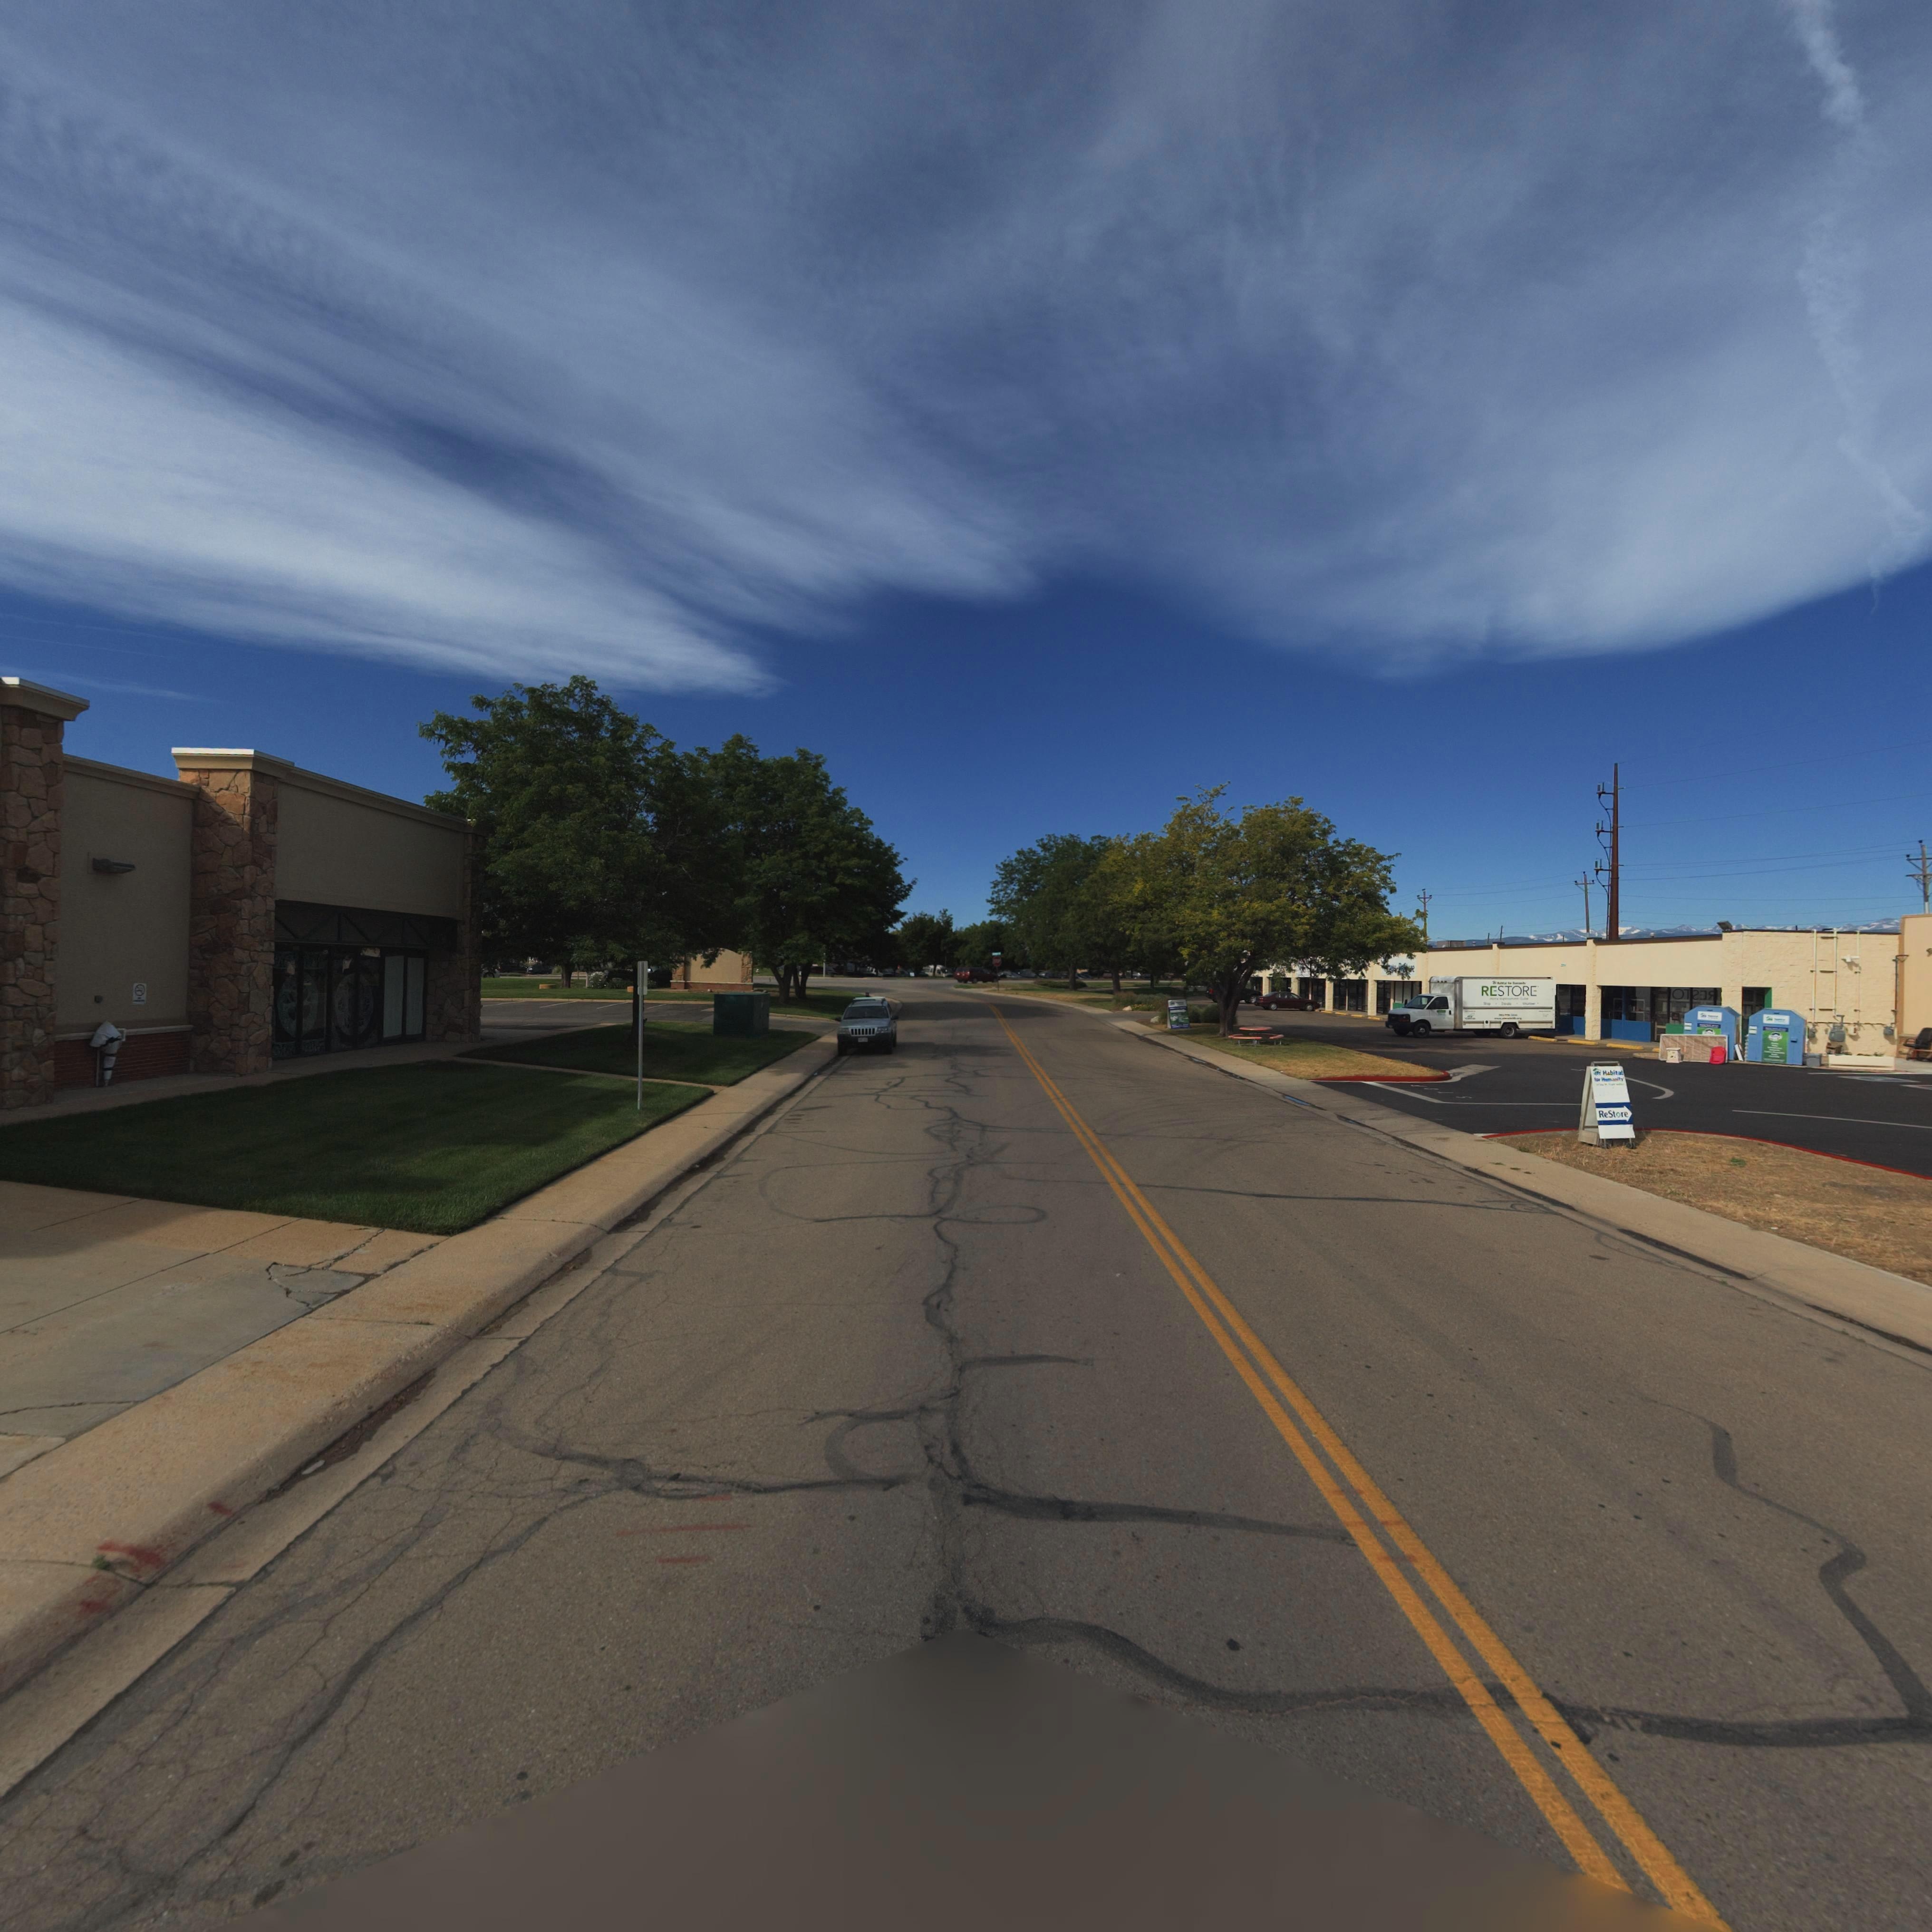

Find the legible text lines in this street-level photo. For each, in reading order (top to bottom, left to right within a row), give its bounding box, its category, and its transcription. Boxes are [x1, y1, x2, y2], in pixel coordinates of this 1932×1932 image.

[1560, 964, 1566, 966] StreetNumber: 13**
[1602, 1069, 1623, 1076] BusinessName: Habi**t
[1594, 1076, 1624, 1082] BusinessName: for H******y
[1598, 1110, 1629, 1118] BusinessName: ReStore